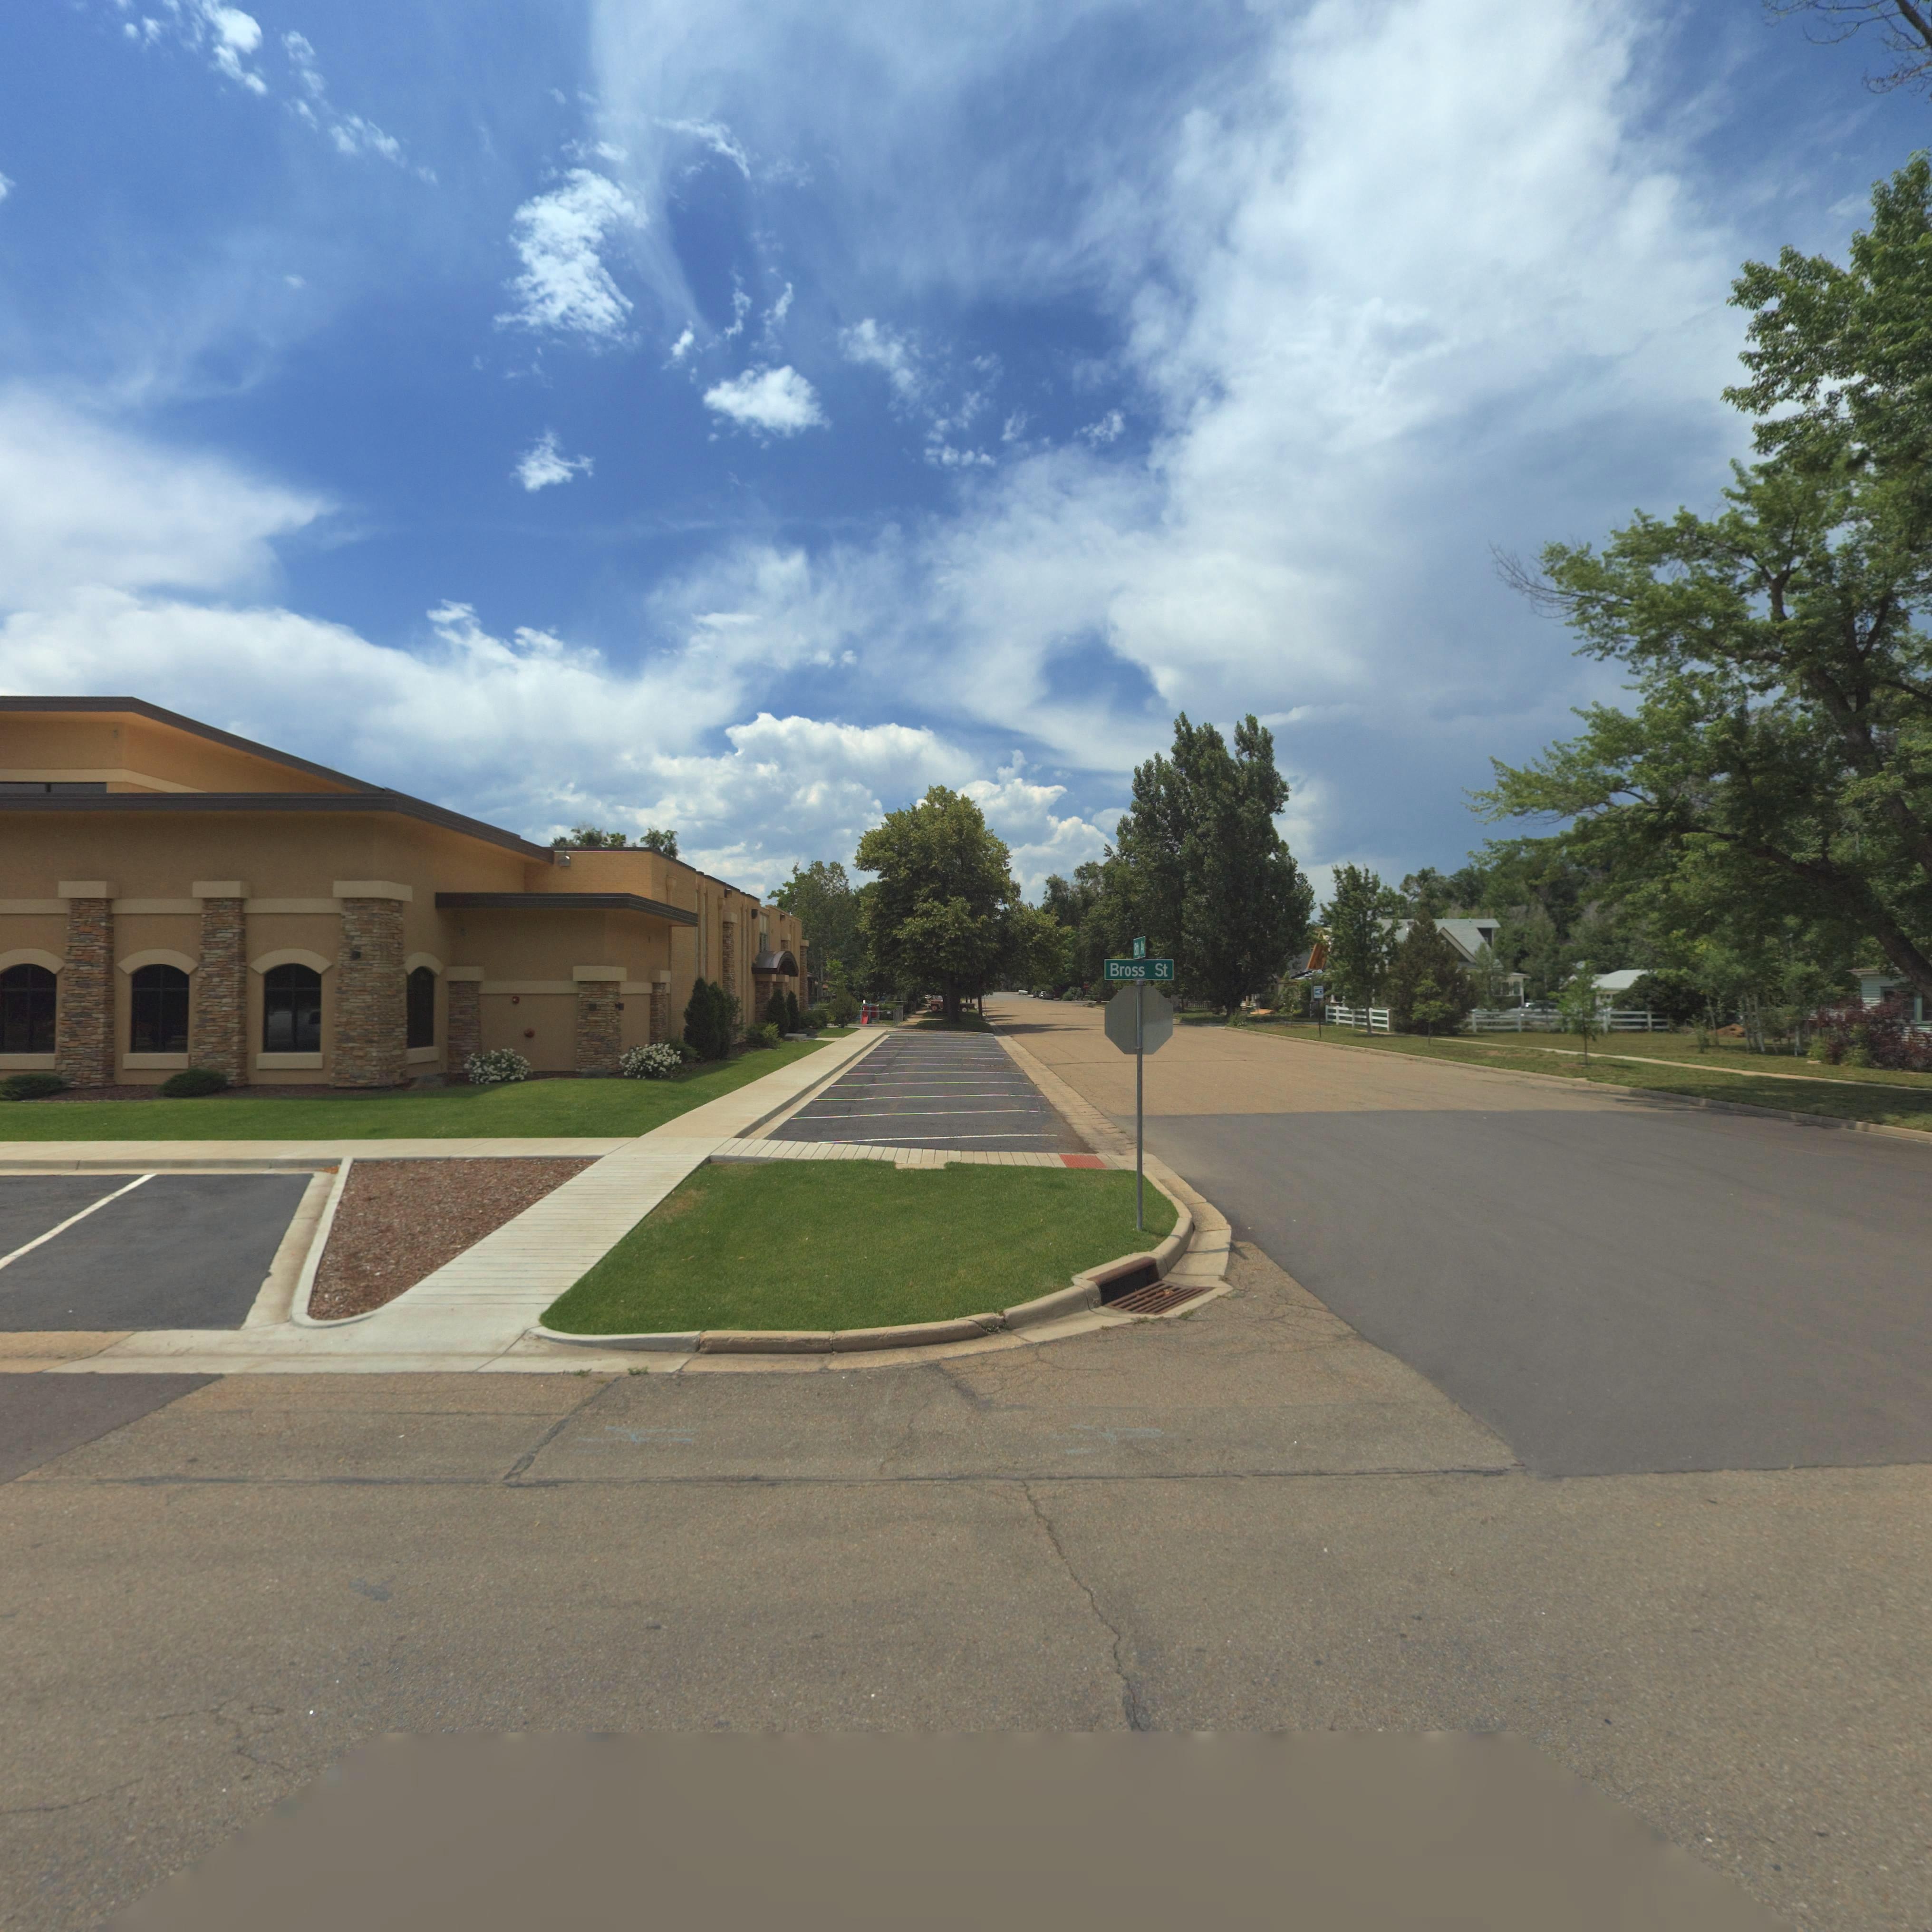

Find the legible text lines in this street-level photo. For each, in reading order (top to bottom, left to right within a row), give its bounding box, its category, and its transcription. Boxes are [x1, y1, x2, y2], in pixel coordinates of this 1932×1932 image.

[1133, 940, 1145, 956] StreetName: 8*h Av
[1110, 962, 1168, 977] StreetName: Bross St